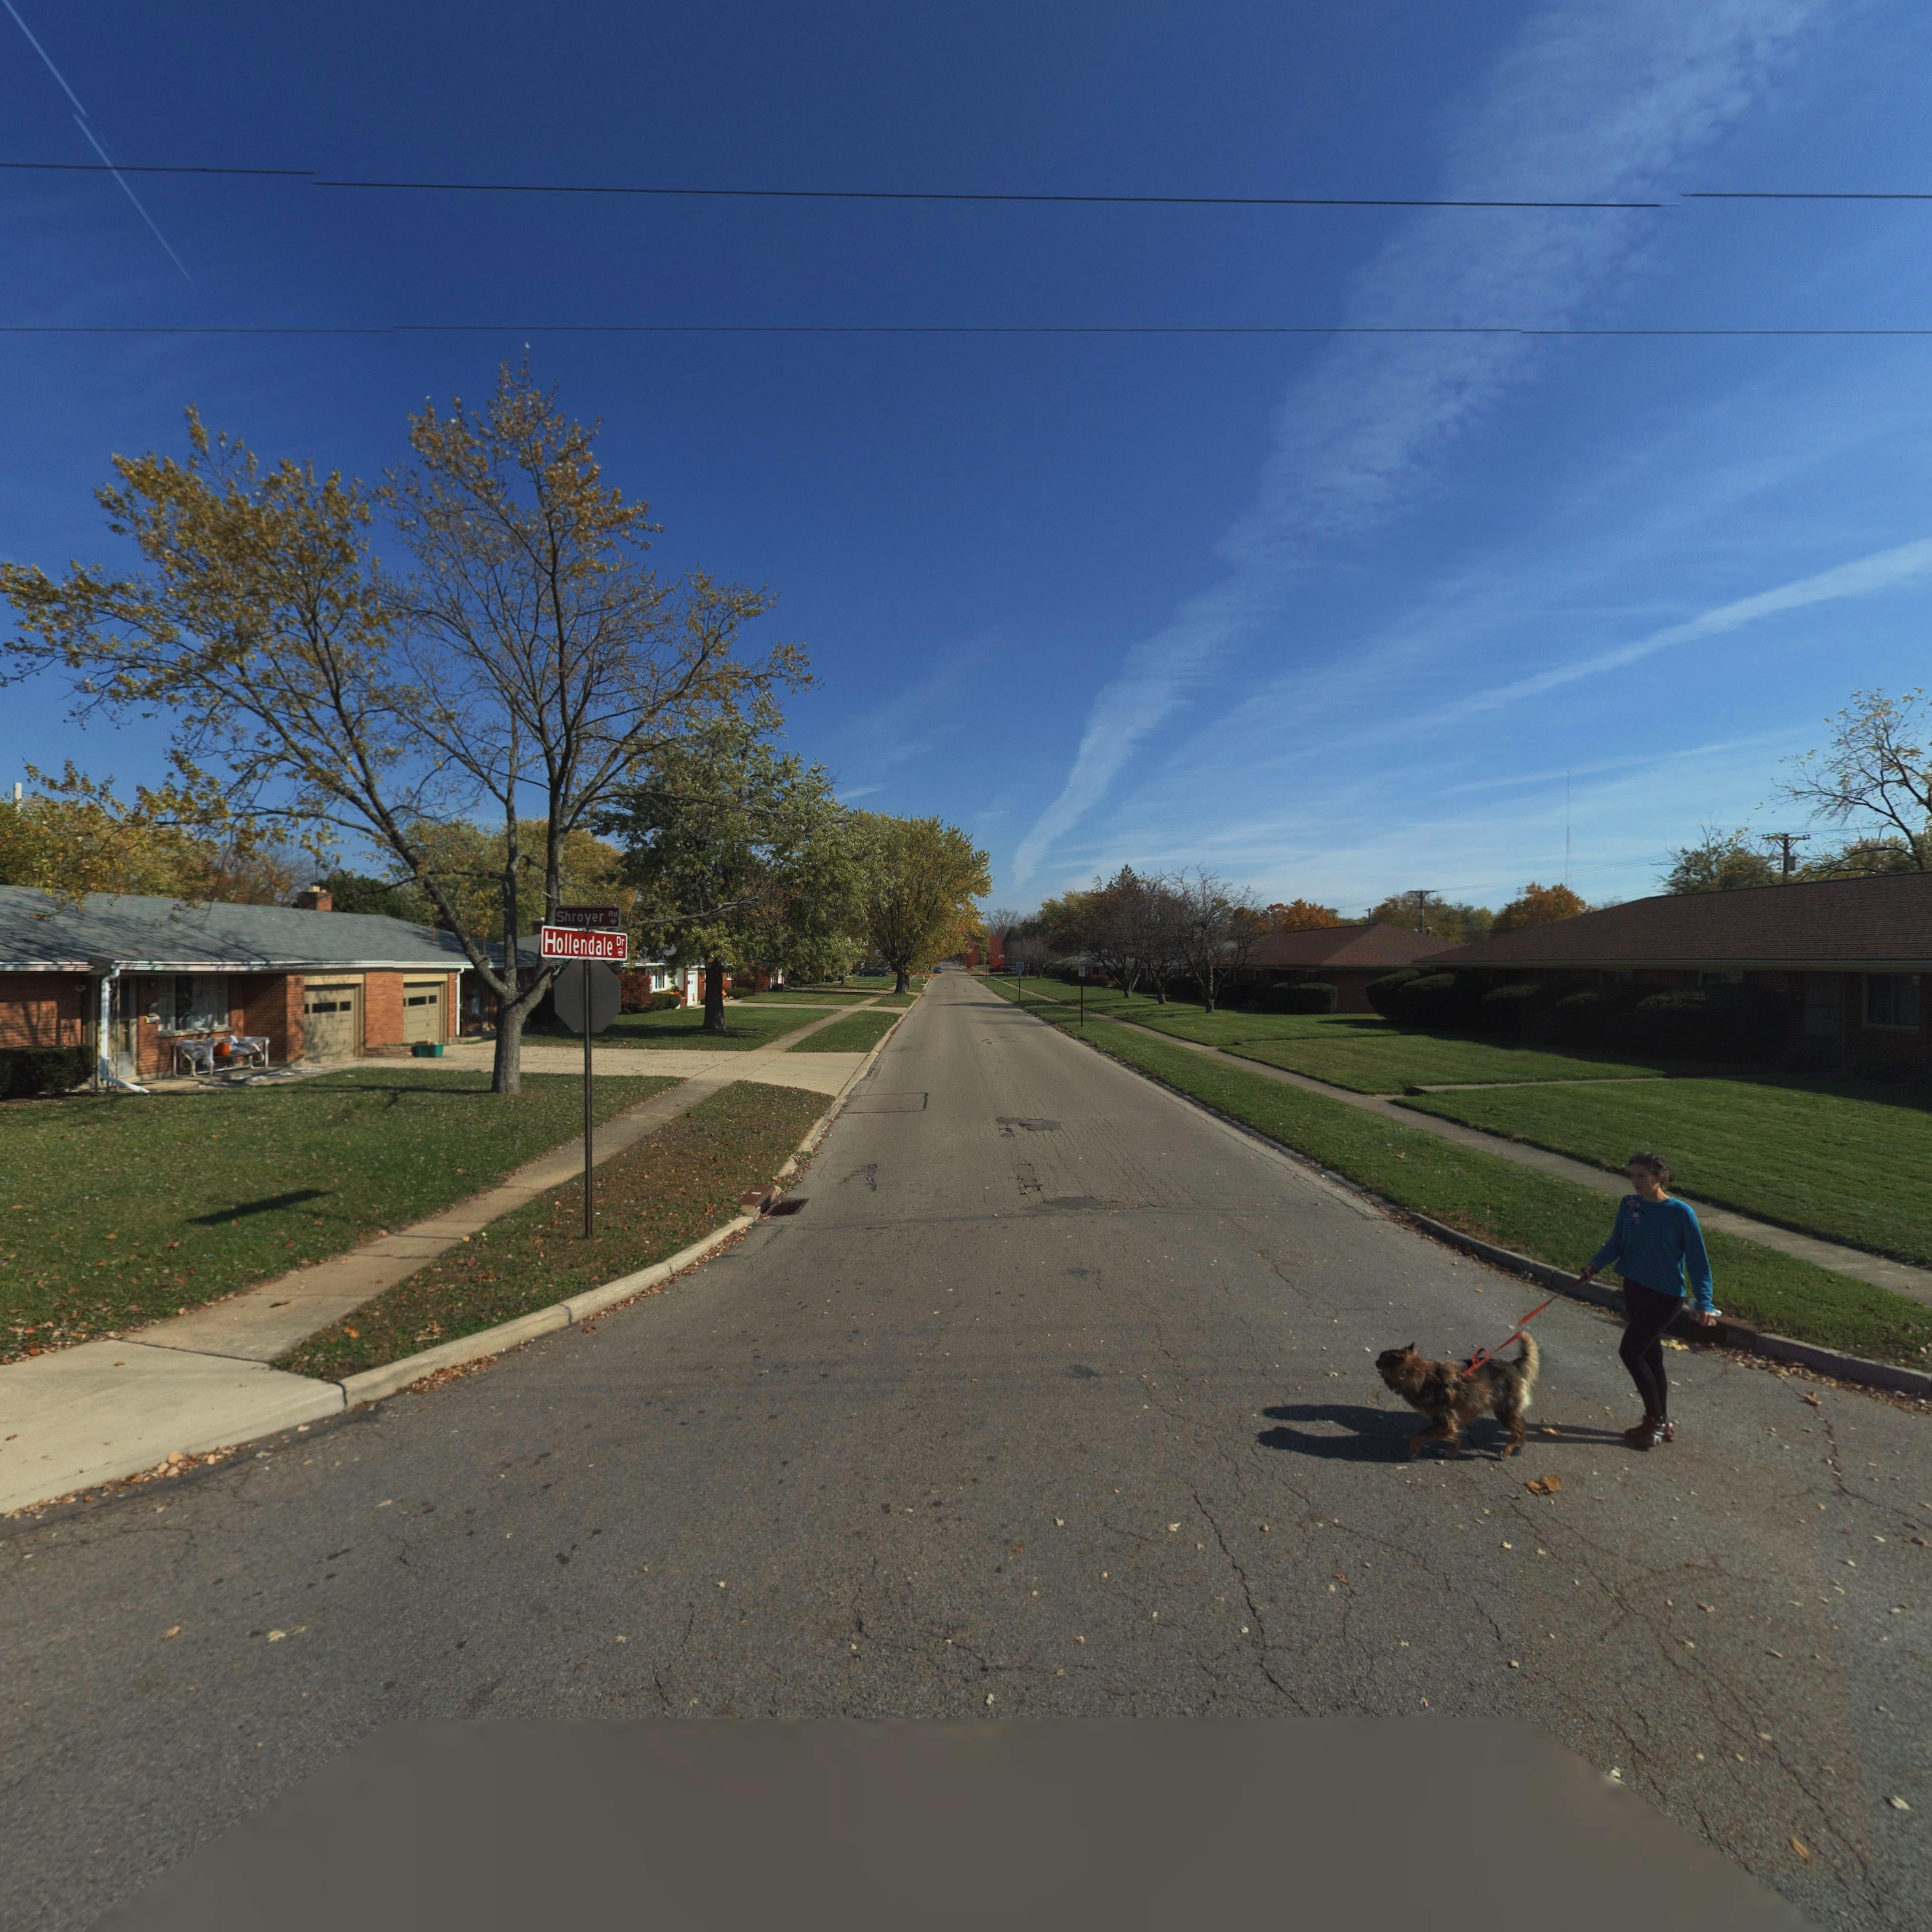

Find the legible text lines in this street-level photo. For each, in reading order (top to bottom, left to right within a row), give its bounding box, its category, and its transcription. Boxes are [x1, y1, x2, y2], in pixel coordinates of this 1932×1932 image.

[555, 910, 618, 926] StreetName: Shroyer Rd
[543, 930, 625, 957] StreetName: Hollendale Dr
[1016, 966, 1023, 971] None: 25